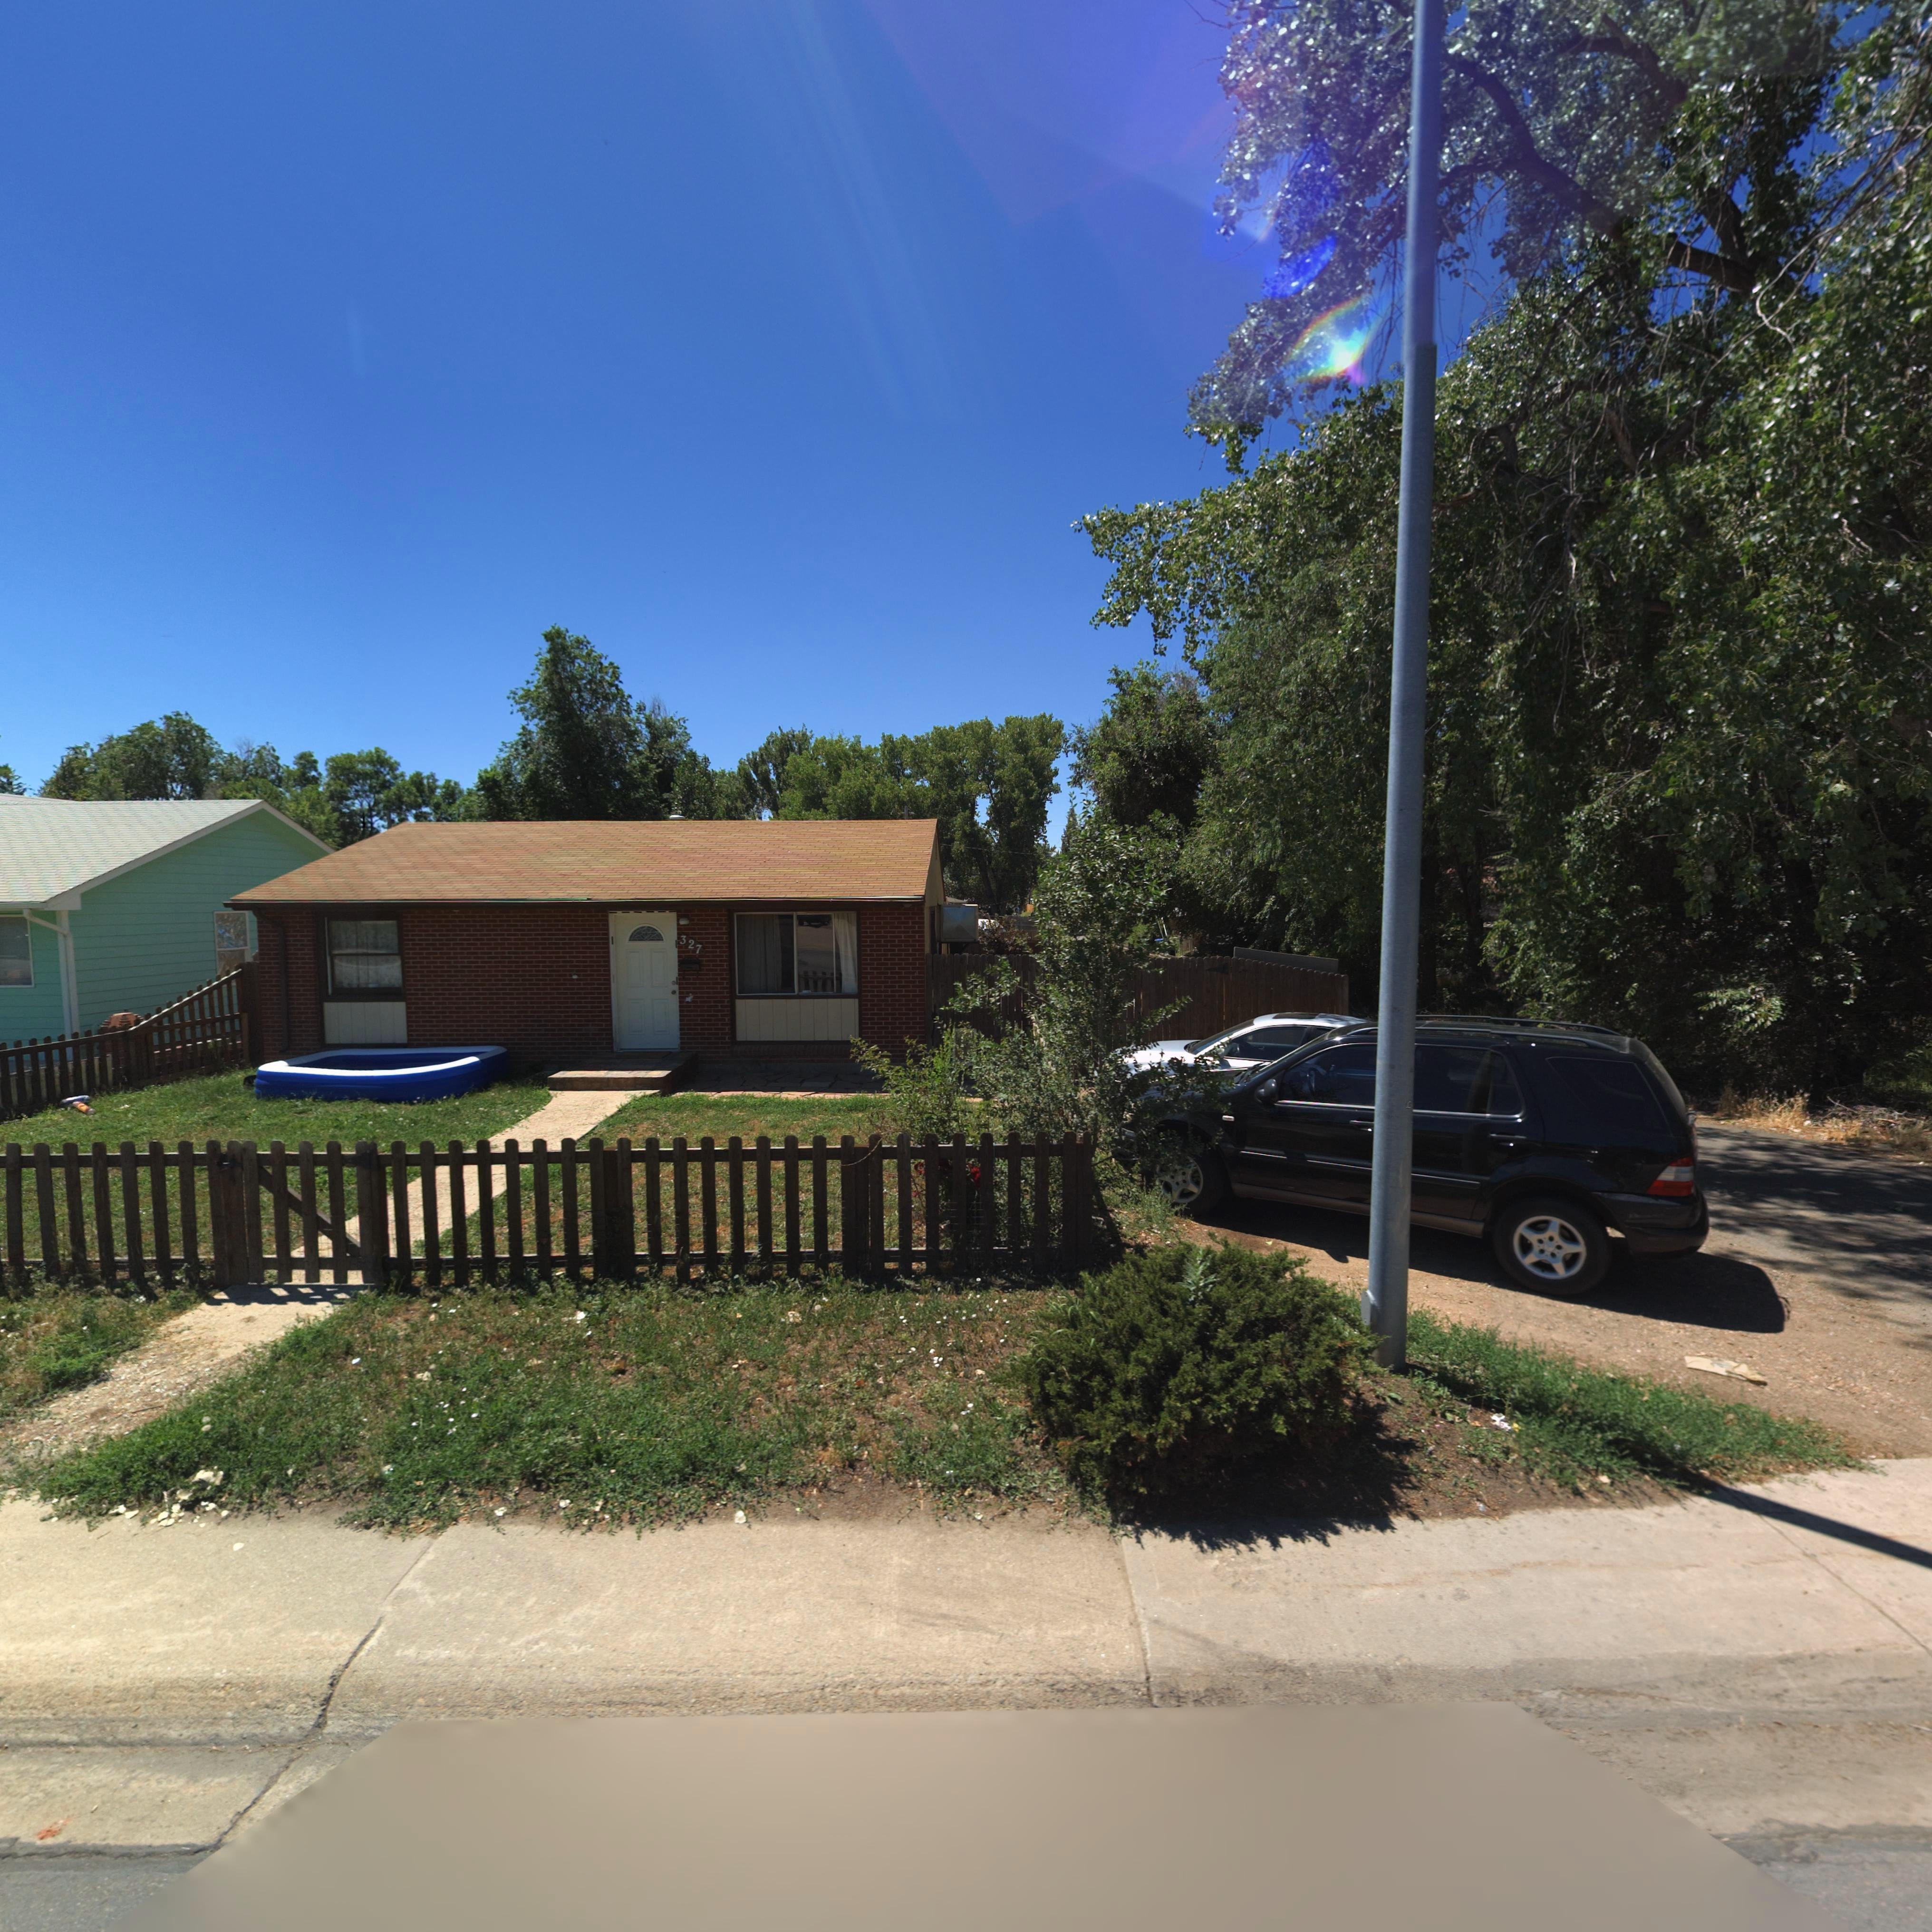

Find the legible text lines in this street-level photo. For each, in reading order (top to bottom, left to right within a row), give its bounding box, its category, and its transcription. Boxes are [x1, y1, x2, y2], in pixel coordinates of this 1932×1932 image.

[679, 935, 703, 954] StreetNumber: 327